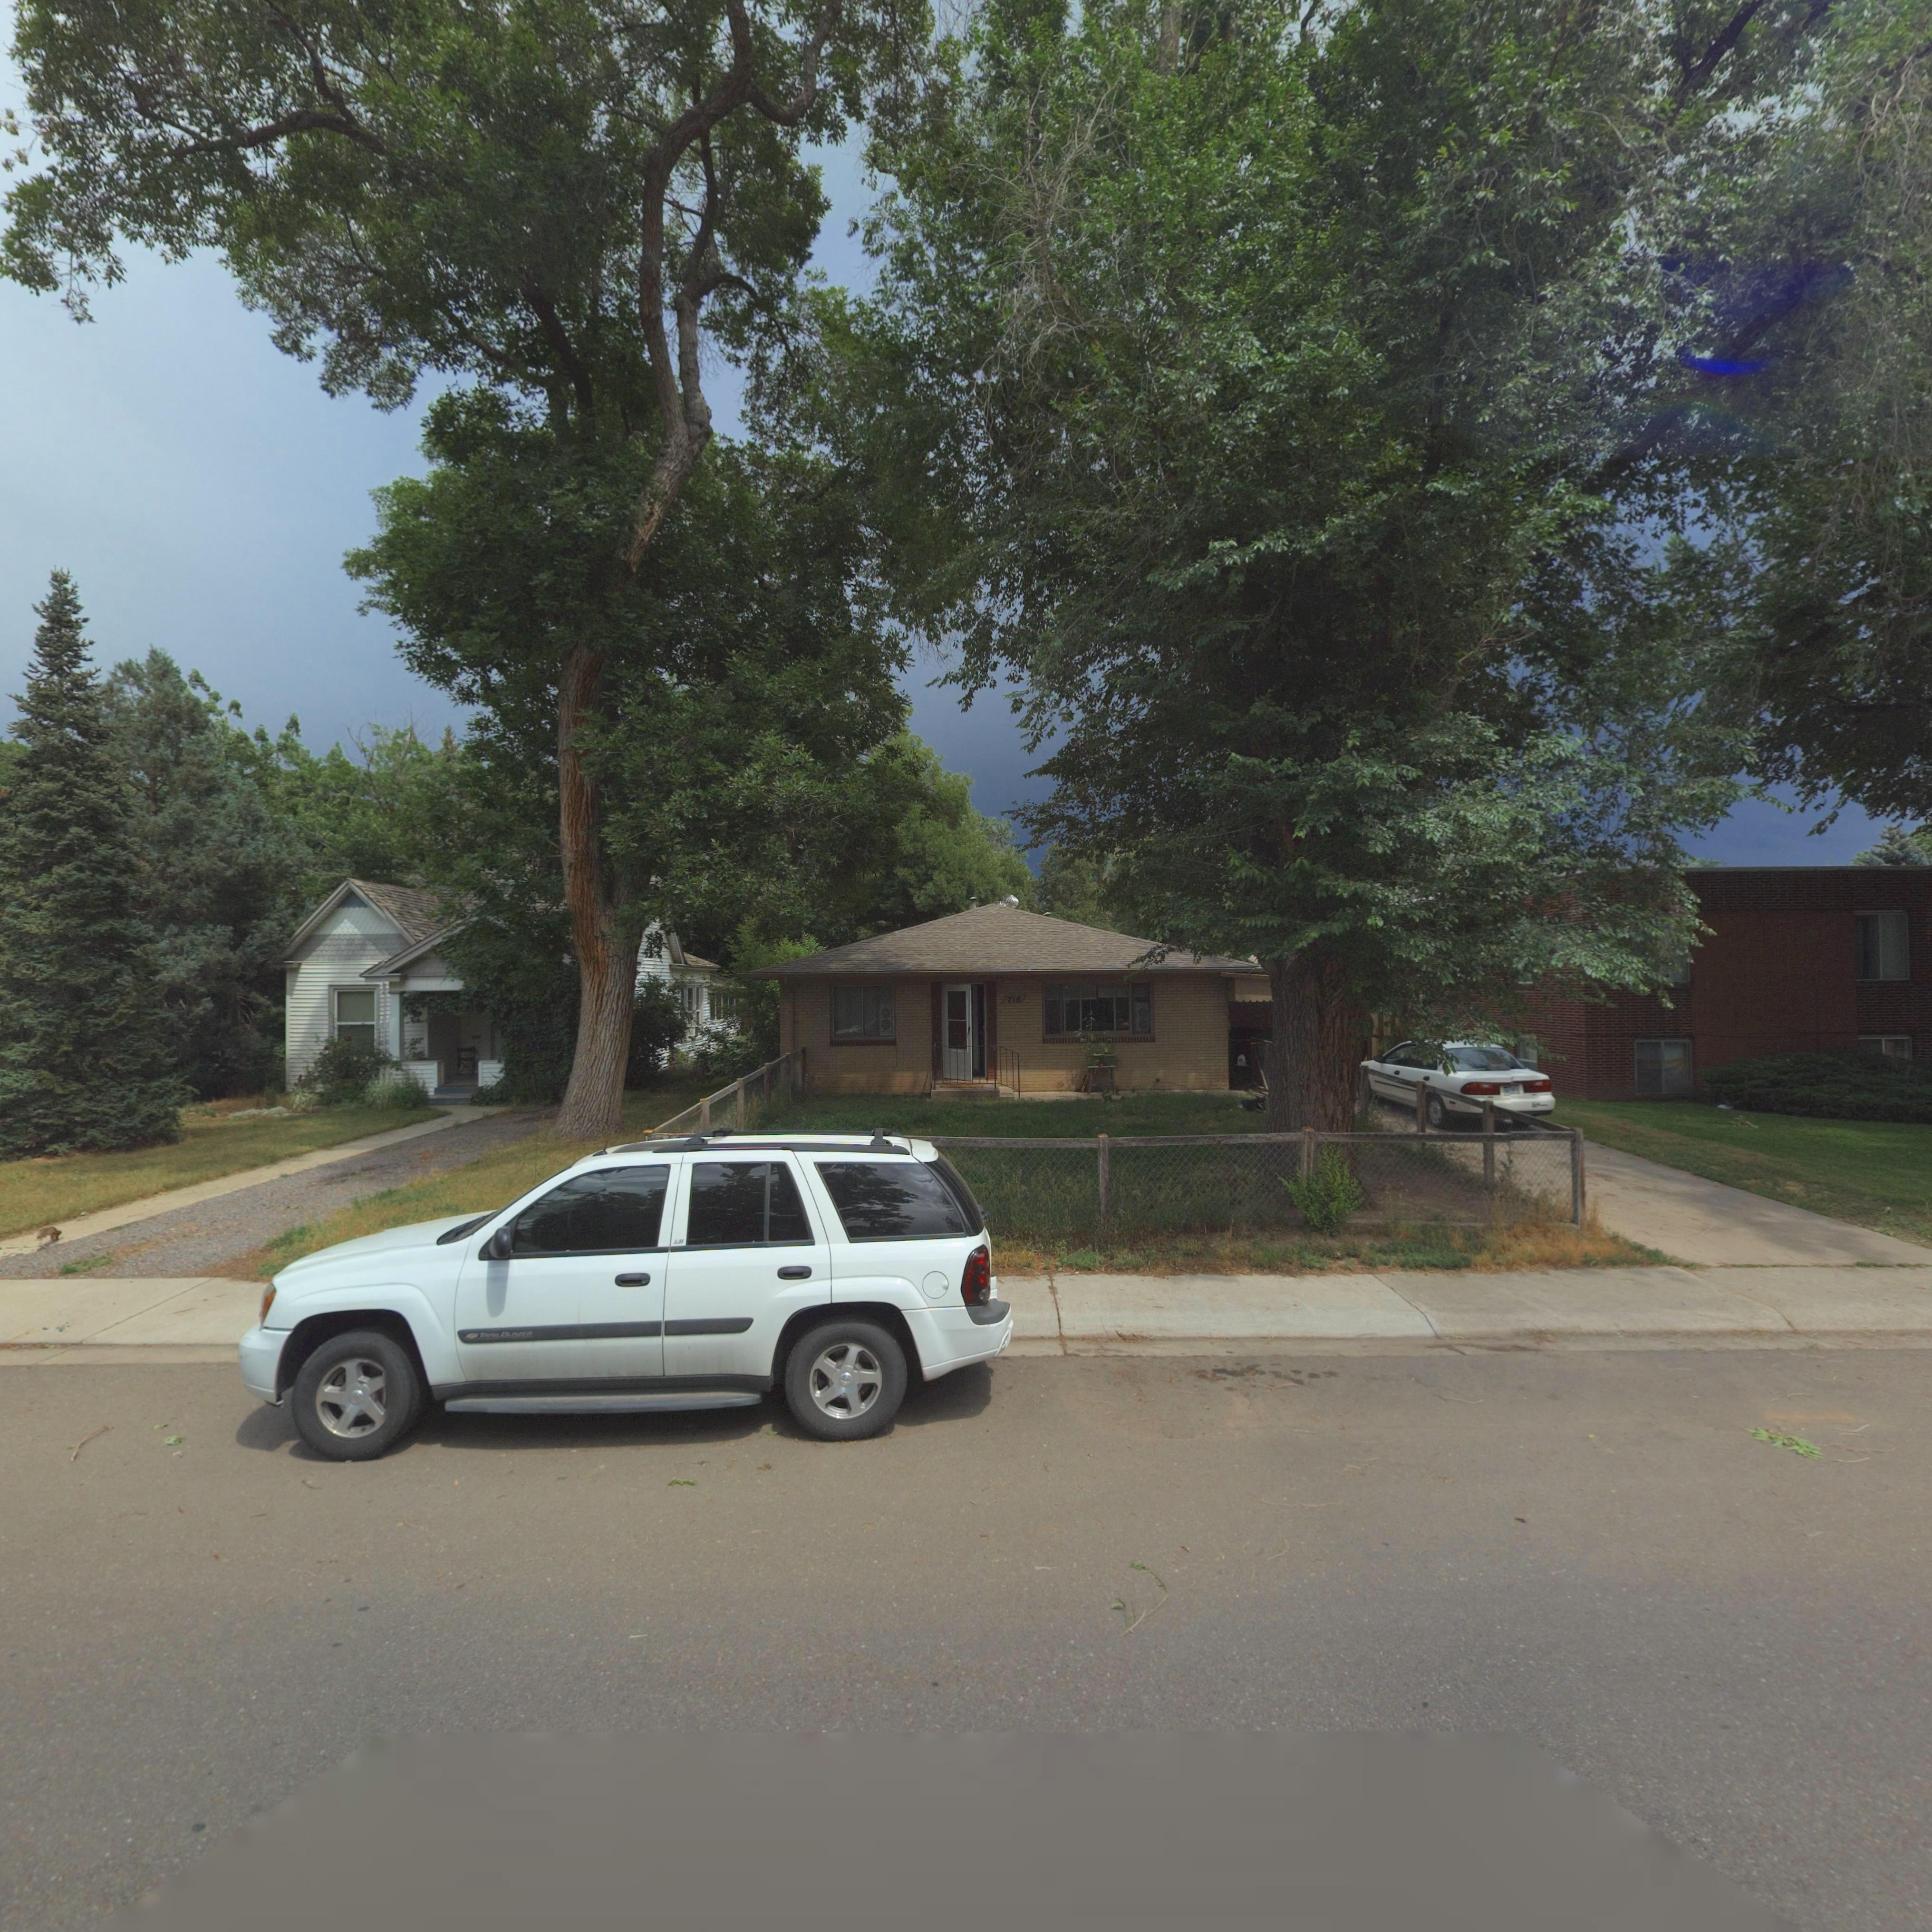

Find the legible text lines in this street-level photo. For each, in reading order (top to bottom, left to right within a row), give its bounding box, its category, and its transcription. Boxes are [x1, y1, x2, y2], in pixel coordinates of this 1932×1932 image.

[1007, 995, 1021, 1003] StreetNumber: 718